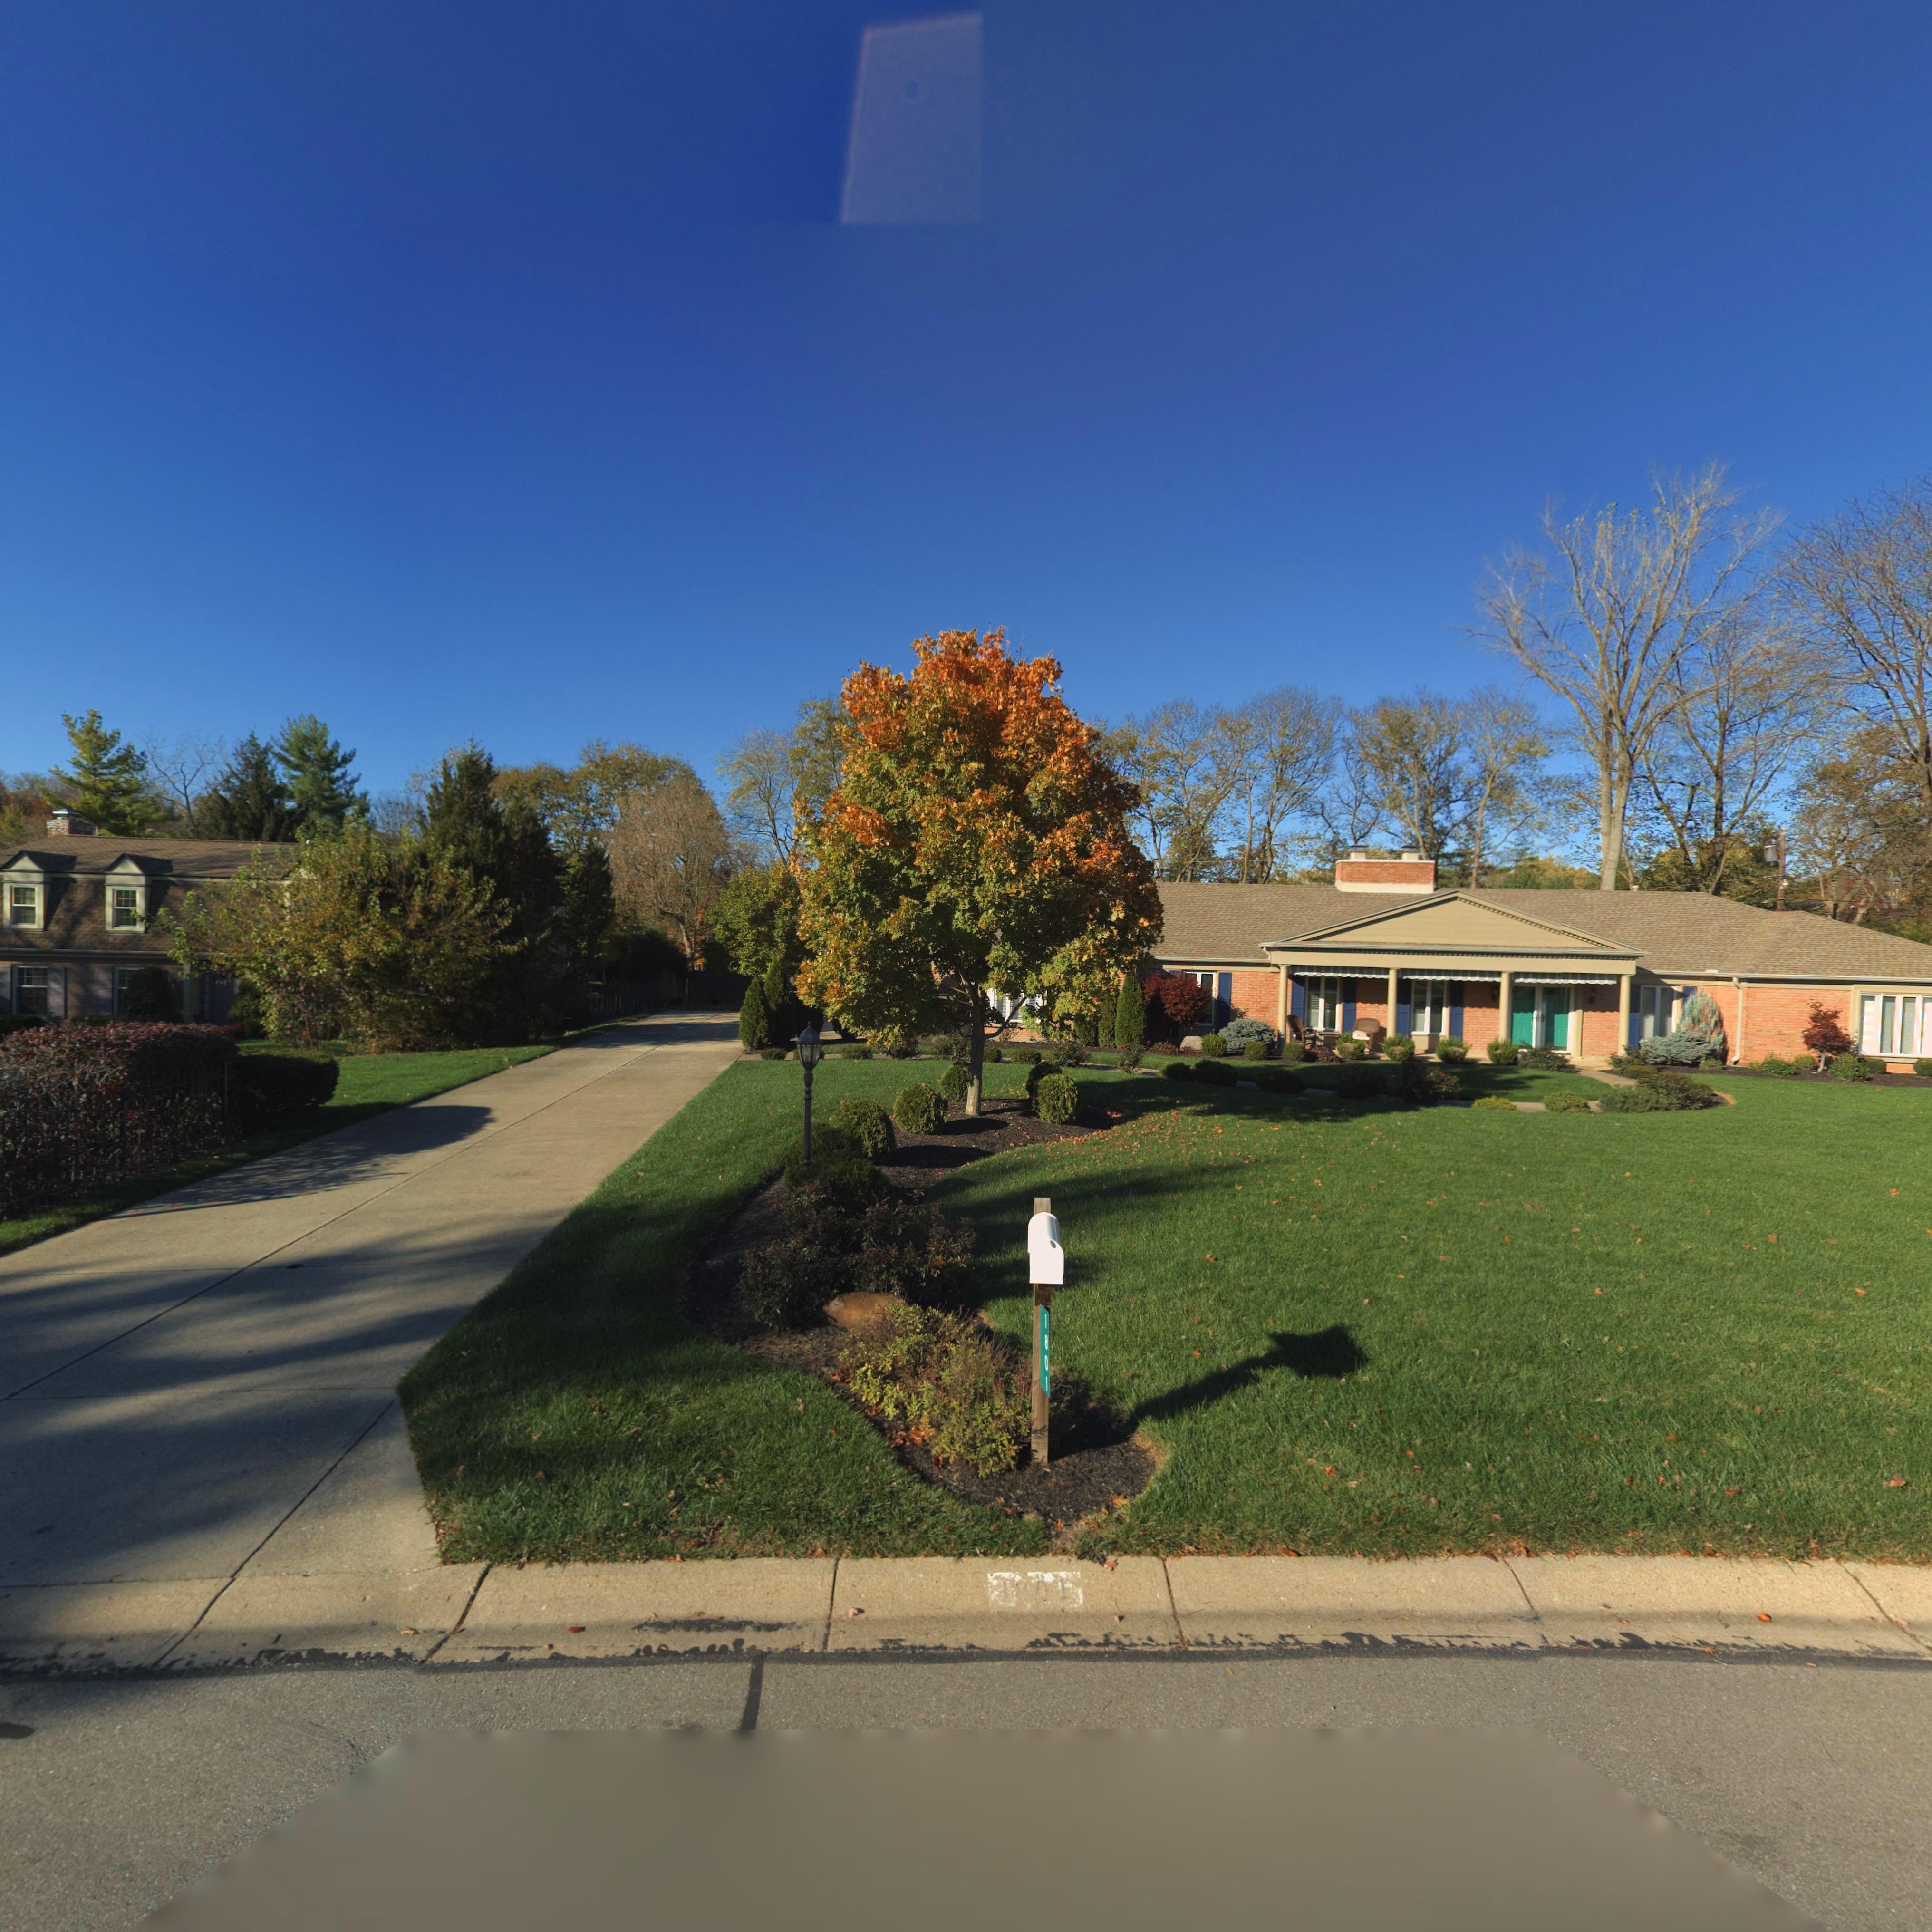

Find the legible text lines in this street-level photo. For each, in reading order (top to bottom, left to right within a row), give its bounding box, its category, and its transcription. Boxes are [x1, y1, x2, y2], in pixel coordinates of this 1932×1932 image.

[1043, 1312, 1050, 1393] StreetNumber: 1801
[1035, 1576, 1069, 1603] StreetNumber: 01